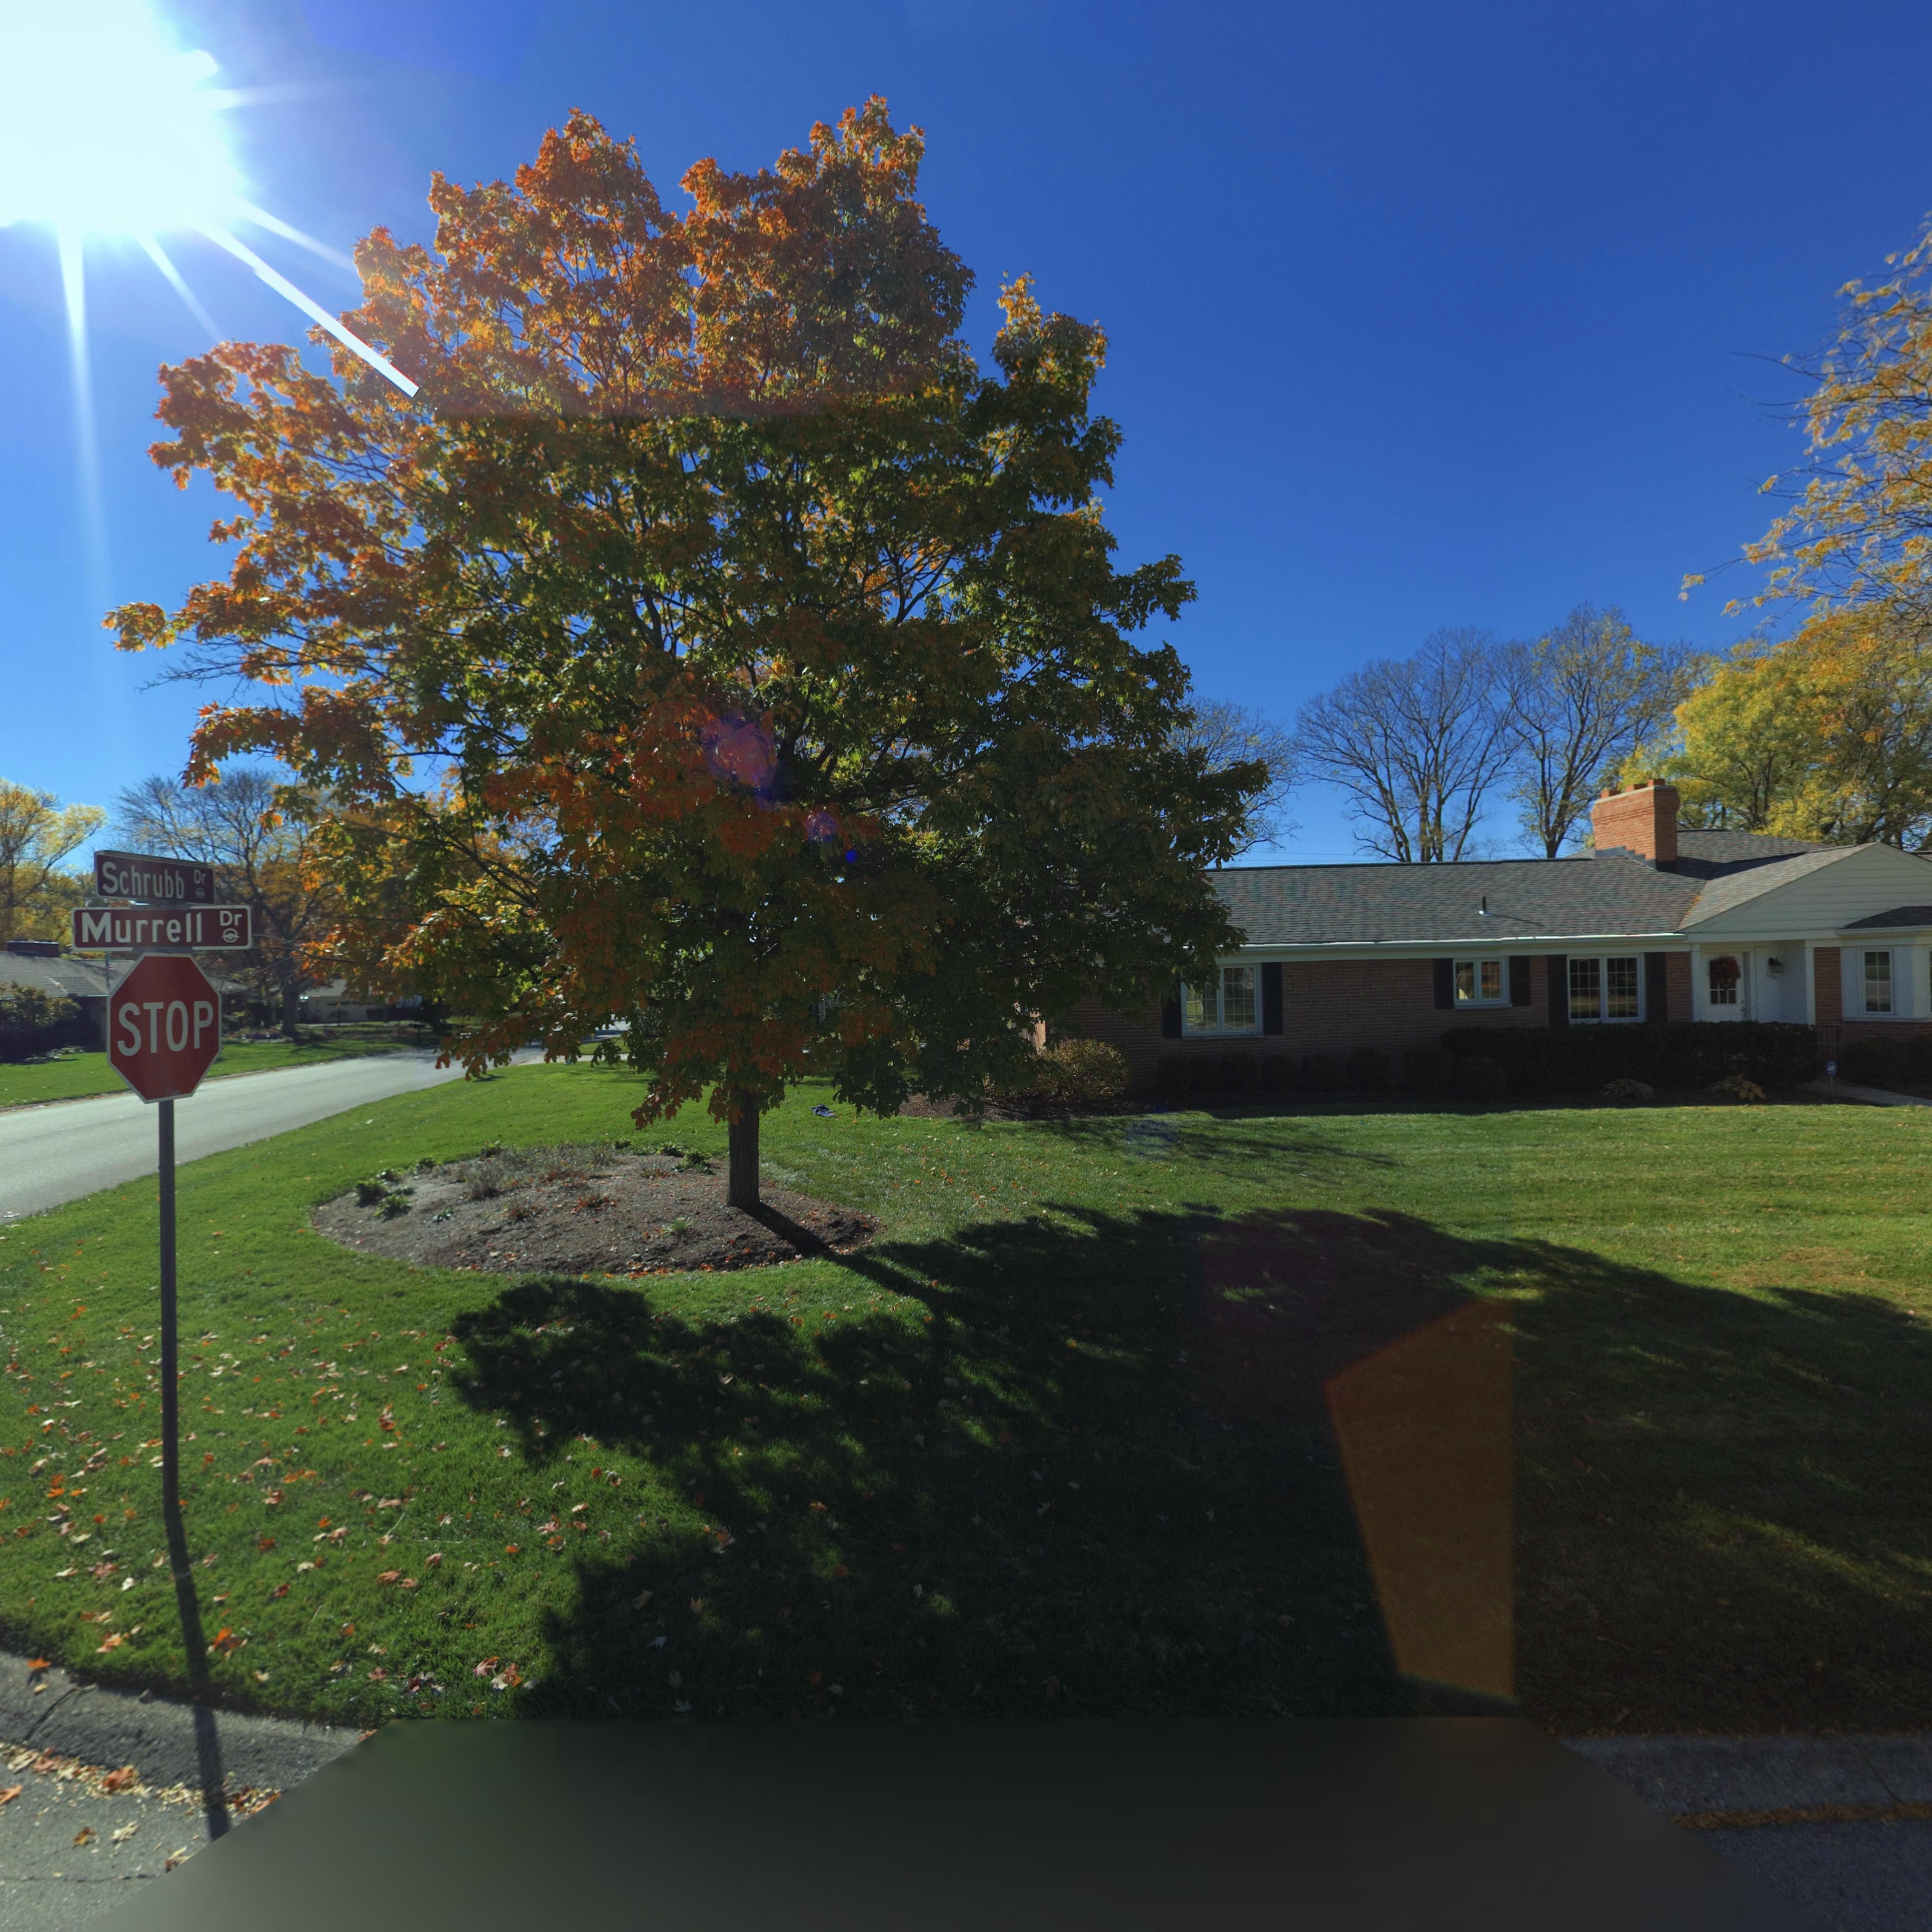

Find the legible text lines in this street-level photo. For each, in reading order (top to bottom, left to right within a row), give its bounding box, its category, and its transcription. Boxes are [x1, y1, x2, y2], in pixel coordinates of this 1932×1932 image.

[1766, 971, 1778, 981] StreetNumber: 600